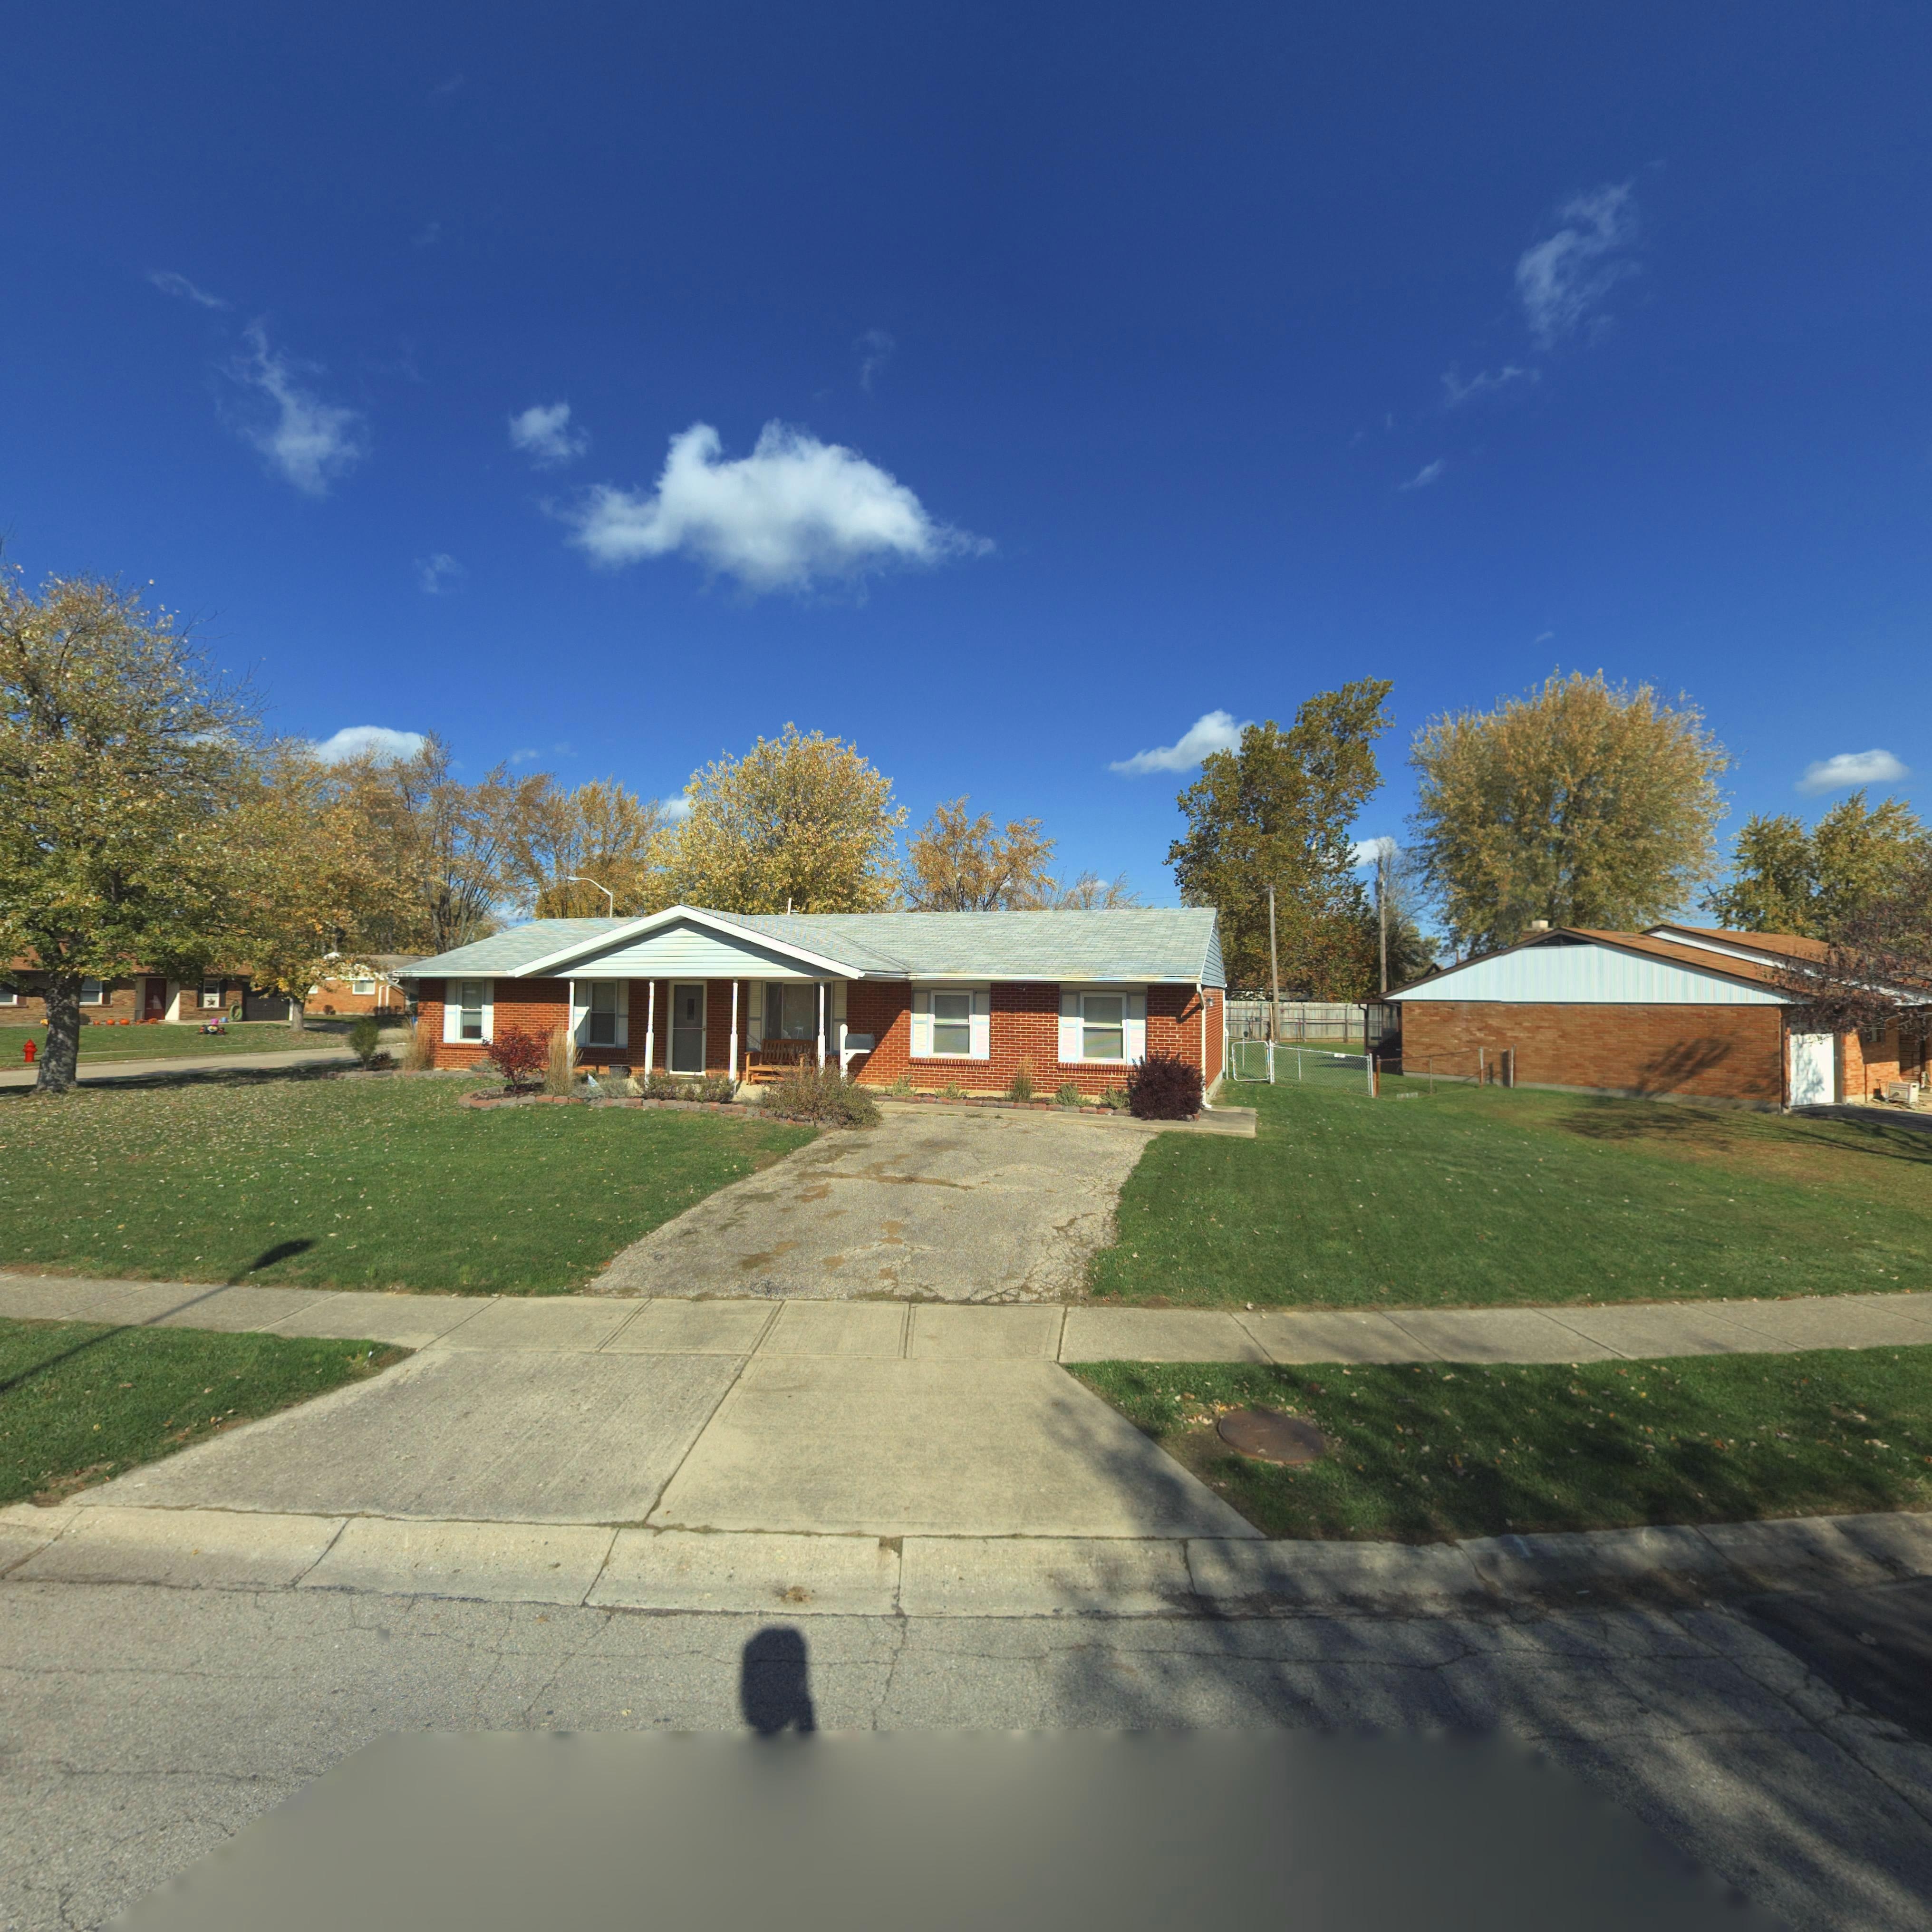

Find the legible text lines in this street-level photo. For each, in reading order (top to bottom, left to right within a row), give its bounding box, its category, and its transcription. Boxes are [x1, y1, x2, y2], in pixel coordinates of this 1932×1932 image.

[746, 1036, 760, 1051] StreetNumber: 6901